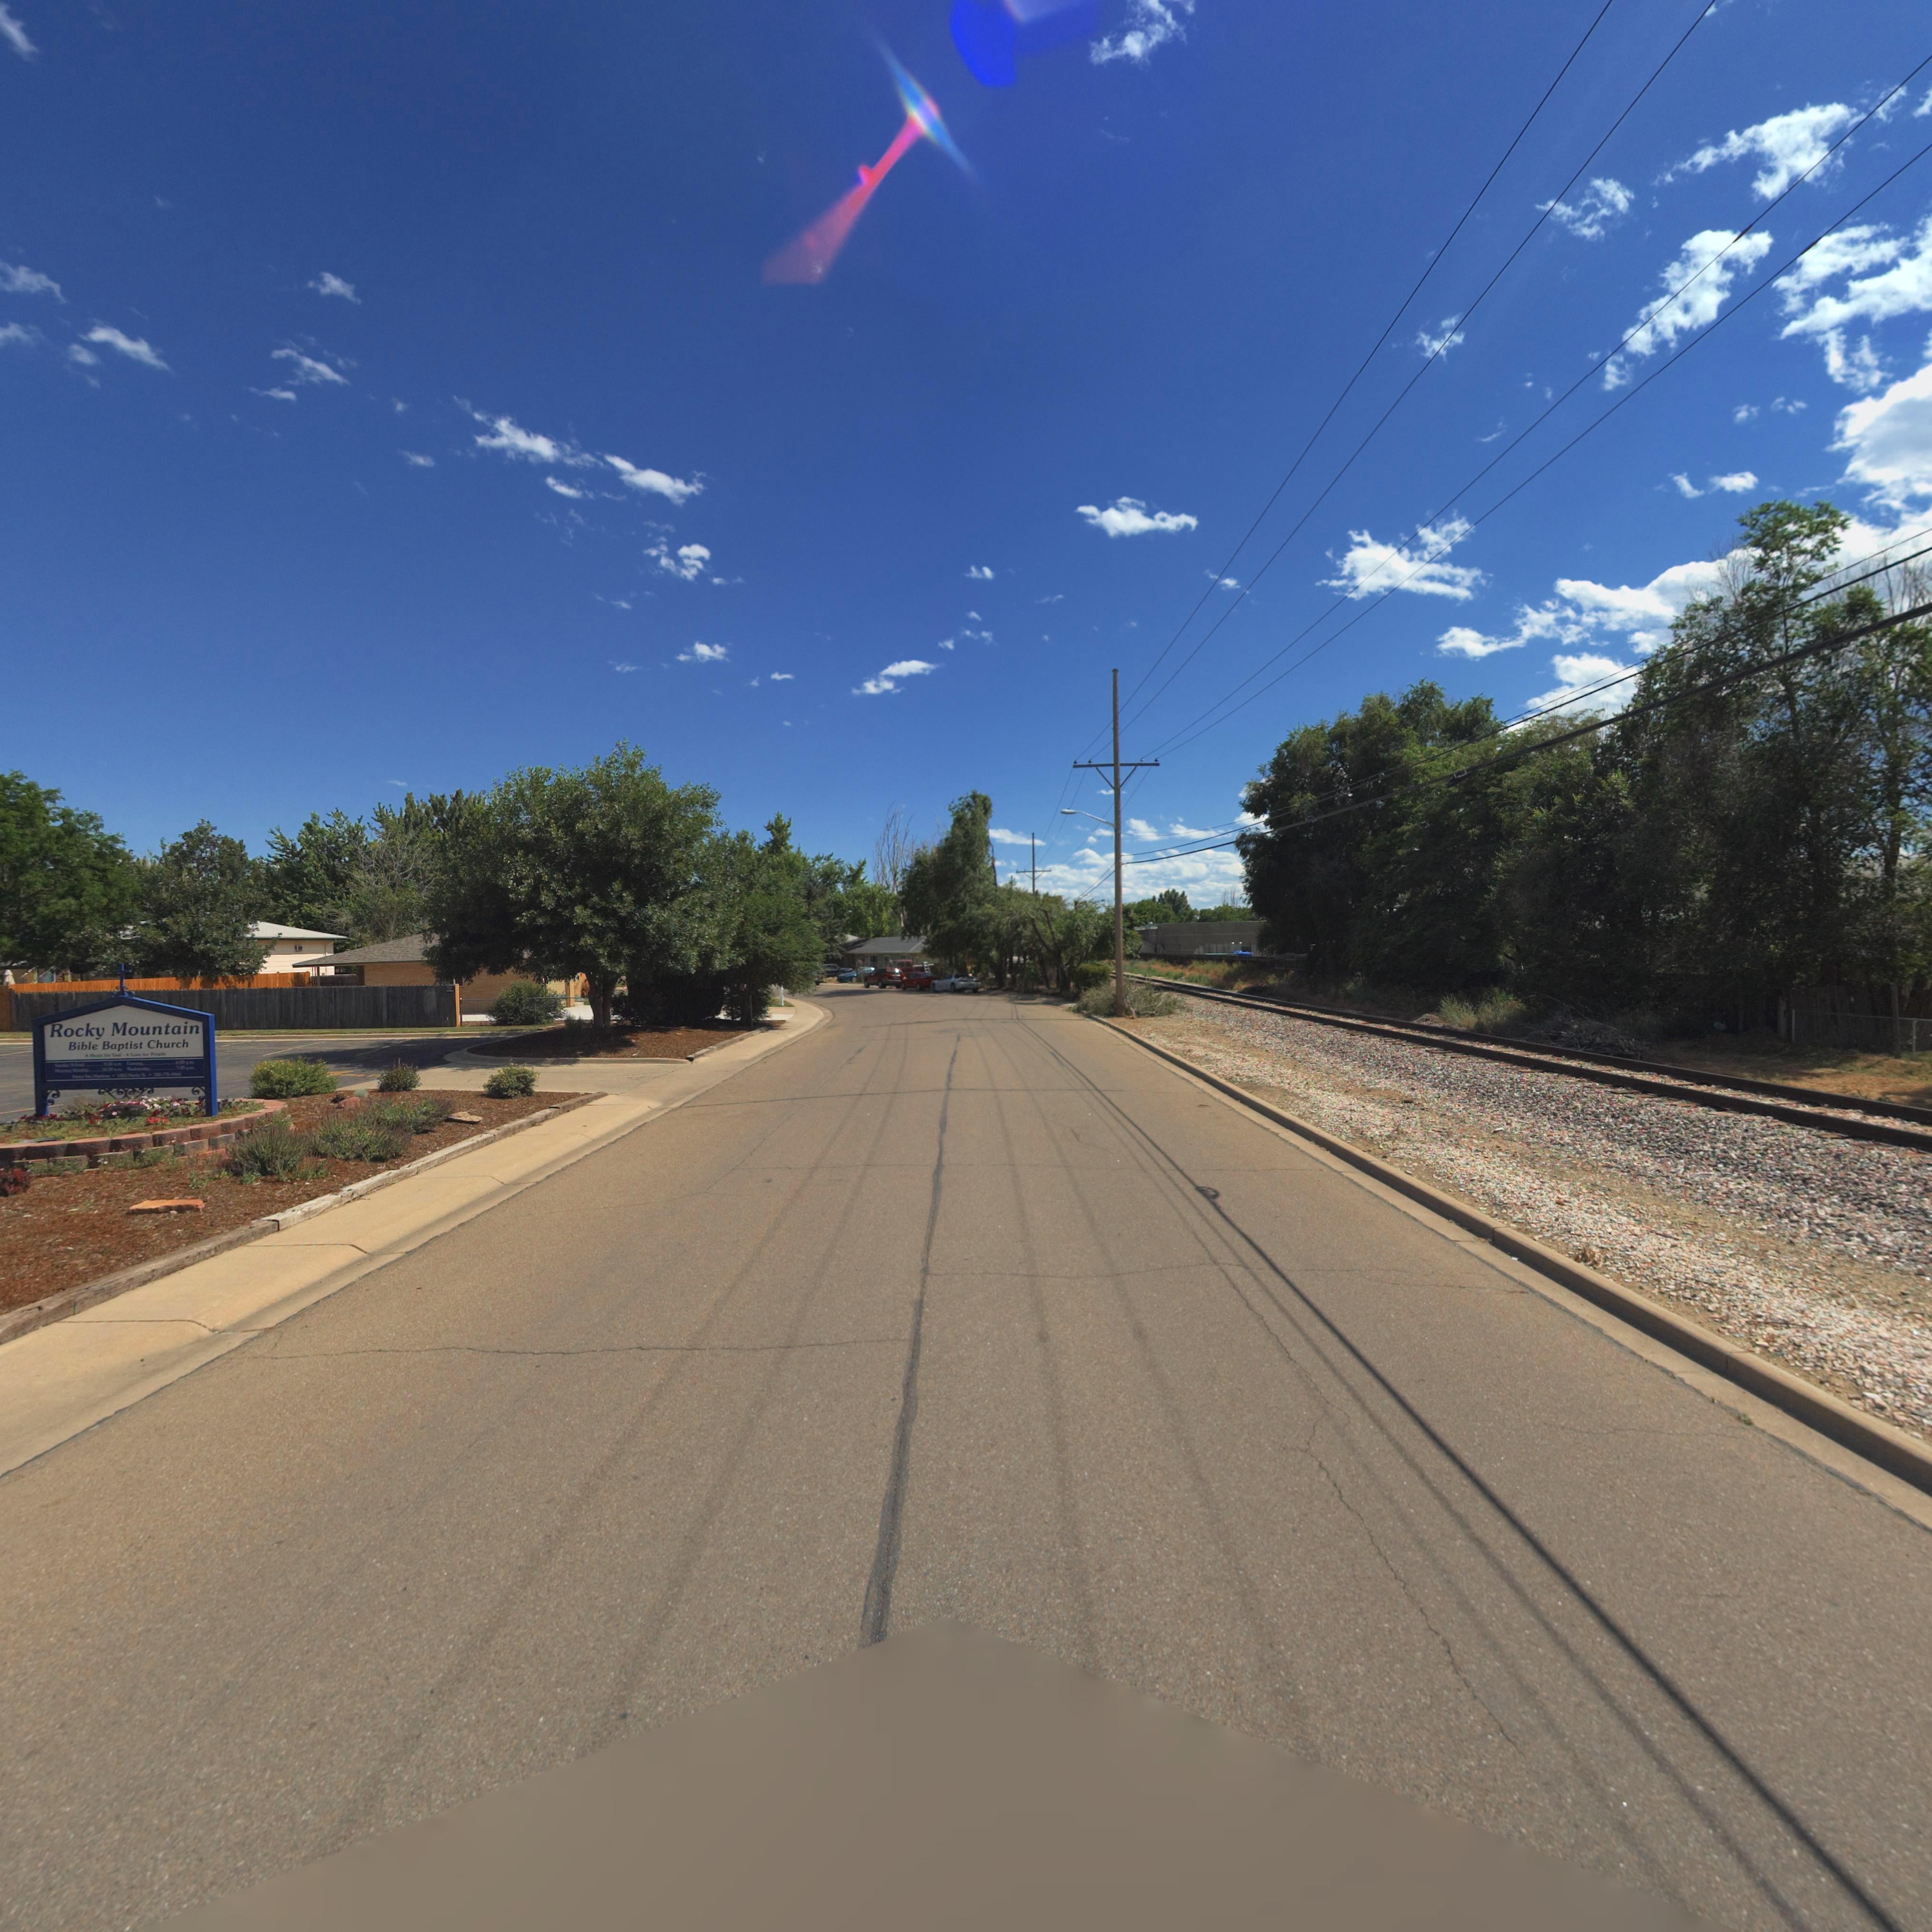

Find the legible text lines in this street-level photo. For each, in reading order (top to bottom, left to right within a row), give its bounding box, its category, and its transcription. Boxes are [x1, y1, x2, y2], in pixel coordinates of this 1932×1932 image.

[48, 1020, 200, 1040] BusinessName: Rocky Mountain
[68, 1038, 189, 1052] BusinessName: Bible Baptist Church